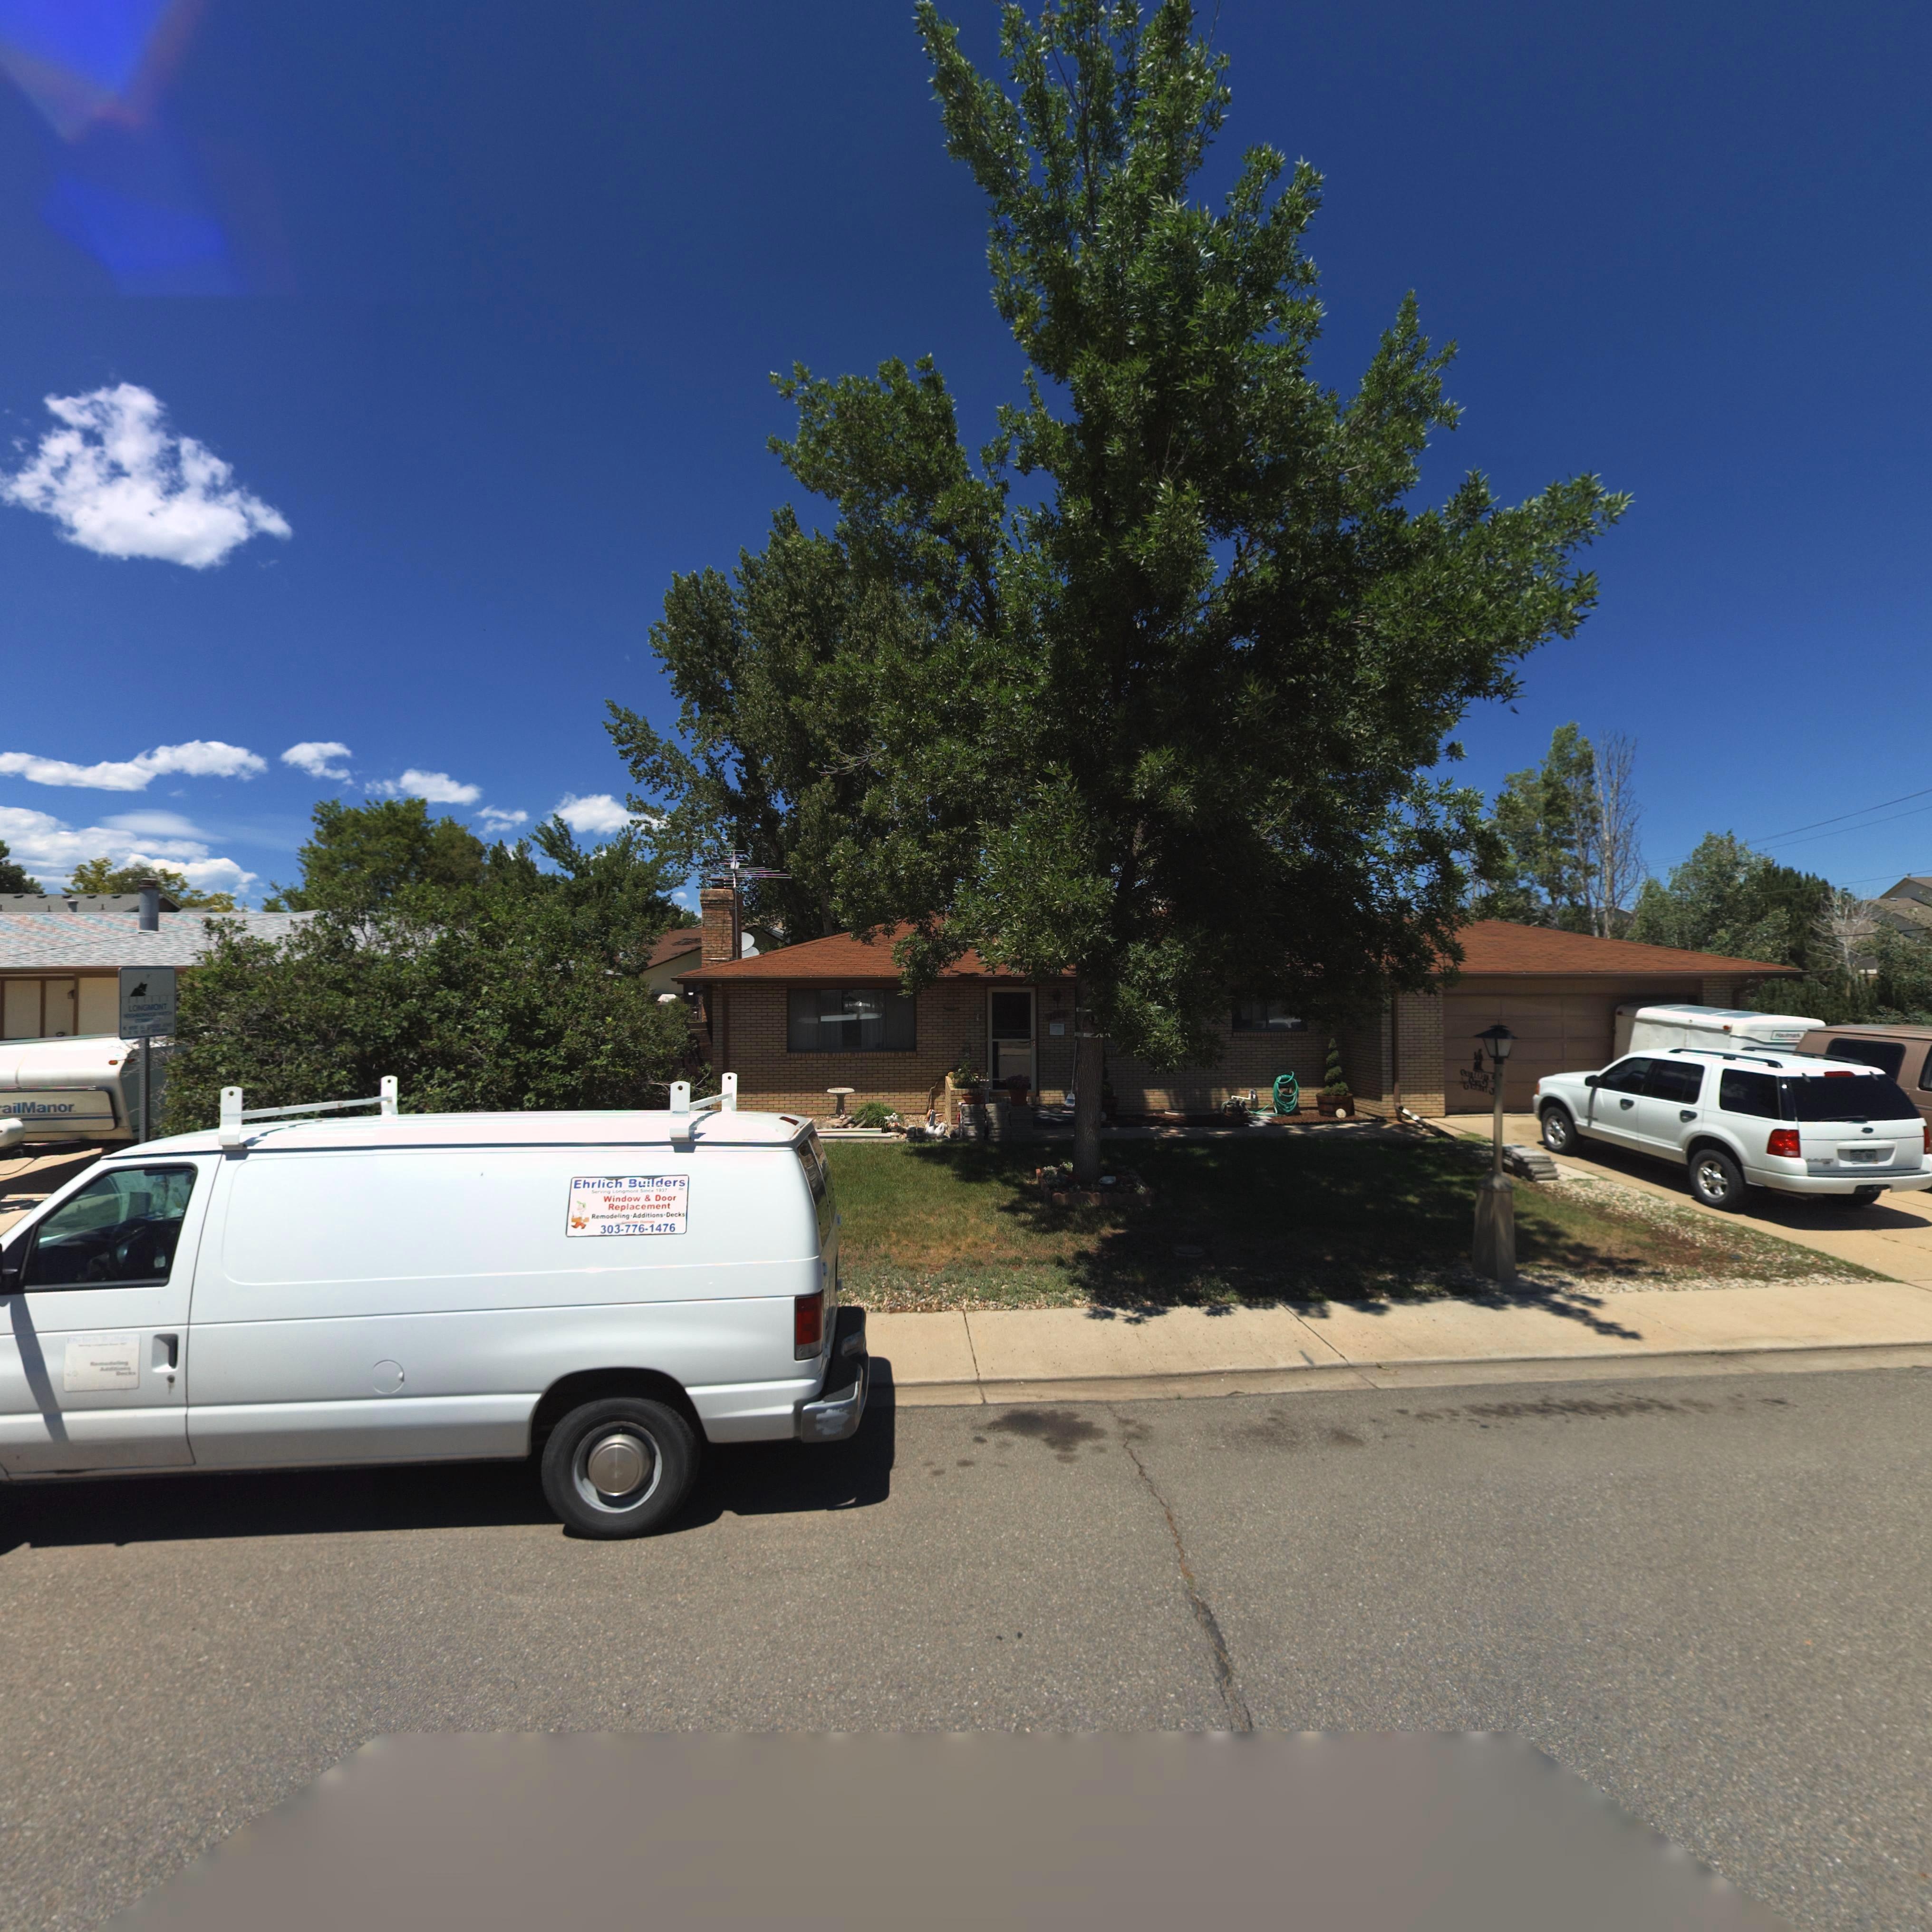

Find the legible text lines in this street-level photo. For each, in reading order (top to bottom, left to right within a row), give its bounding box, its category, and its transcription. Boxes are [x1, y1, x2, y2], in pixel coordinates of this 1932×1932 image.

[1049, 1010, 1066, 1020] StreetNumber: 1***